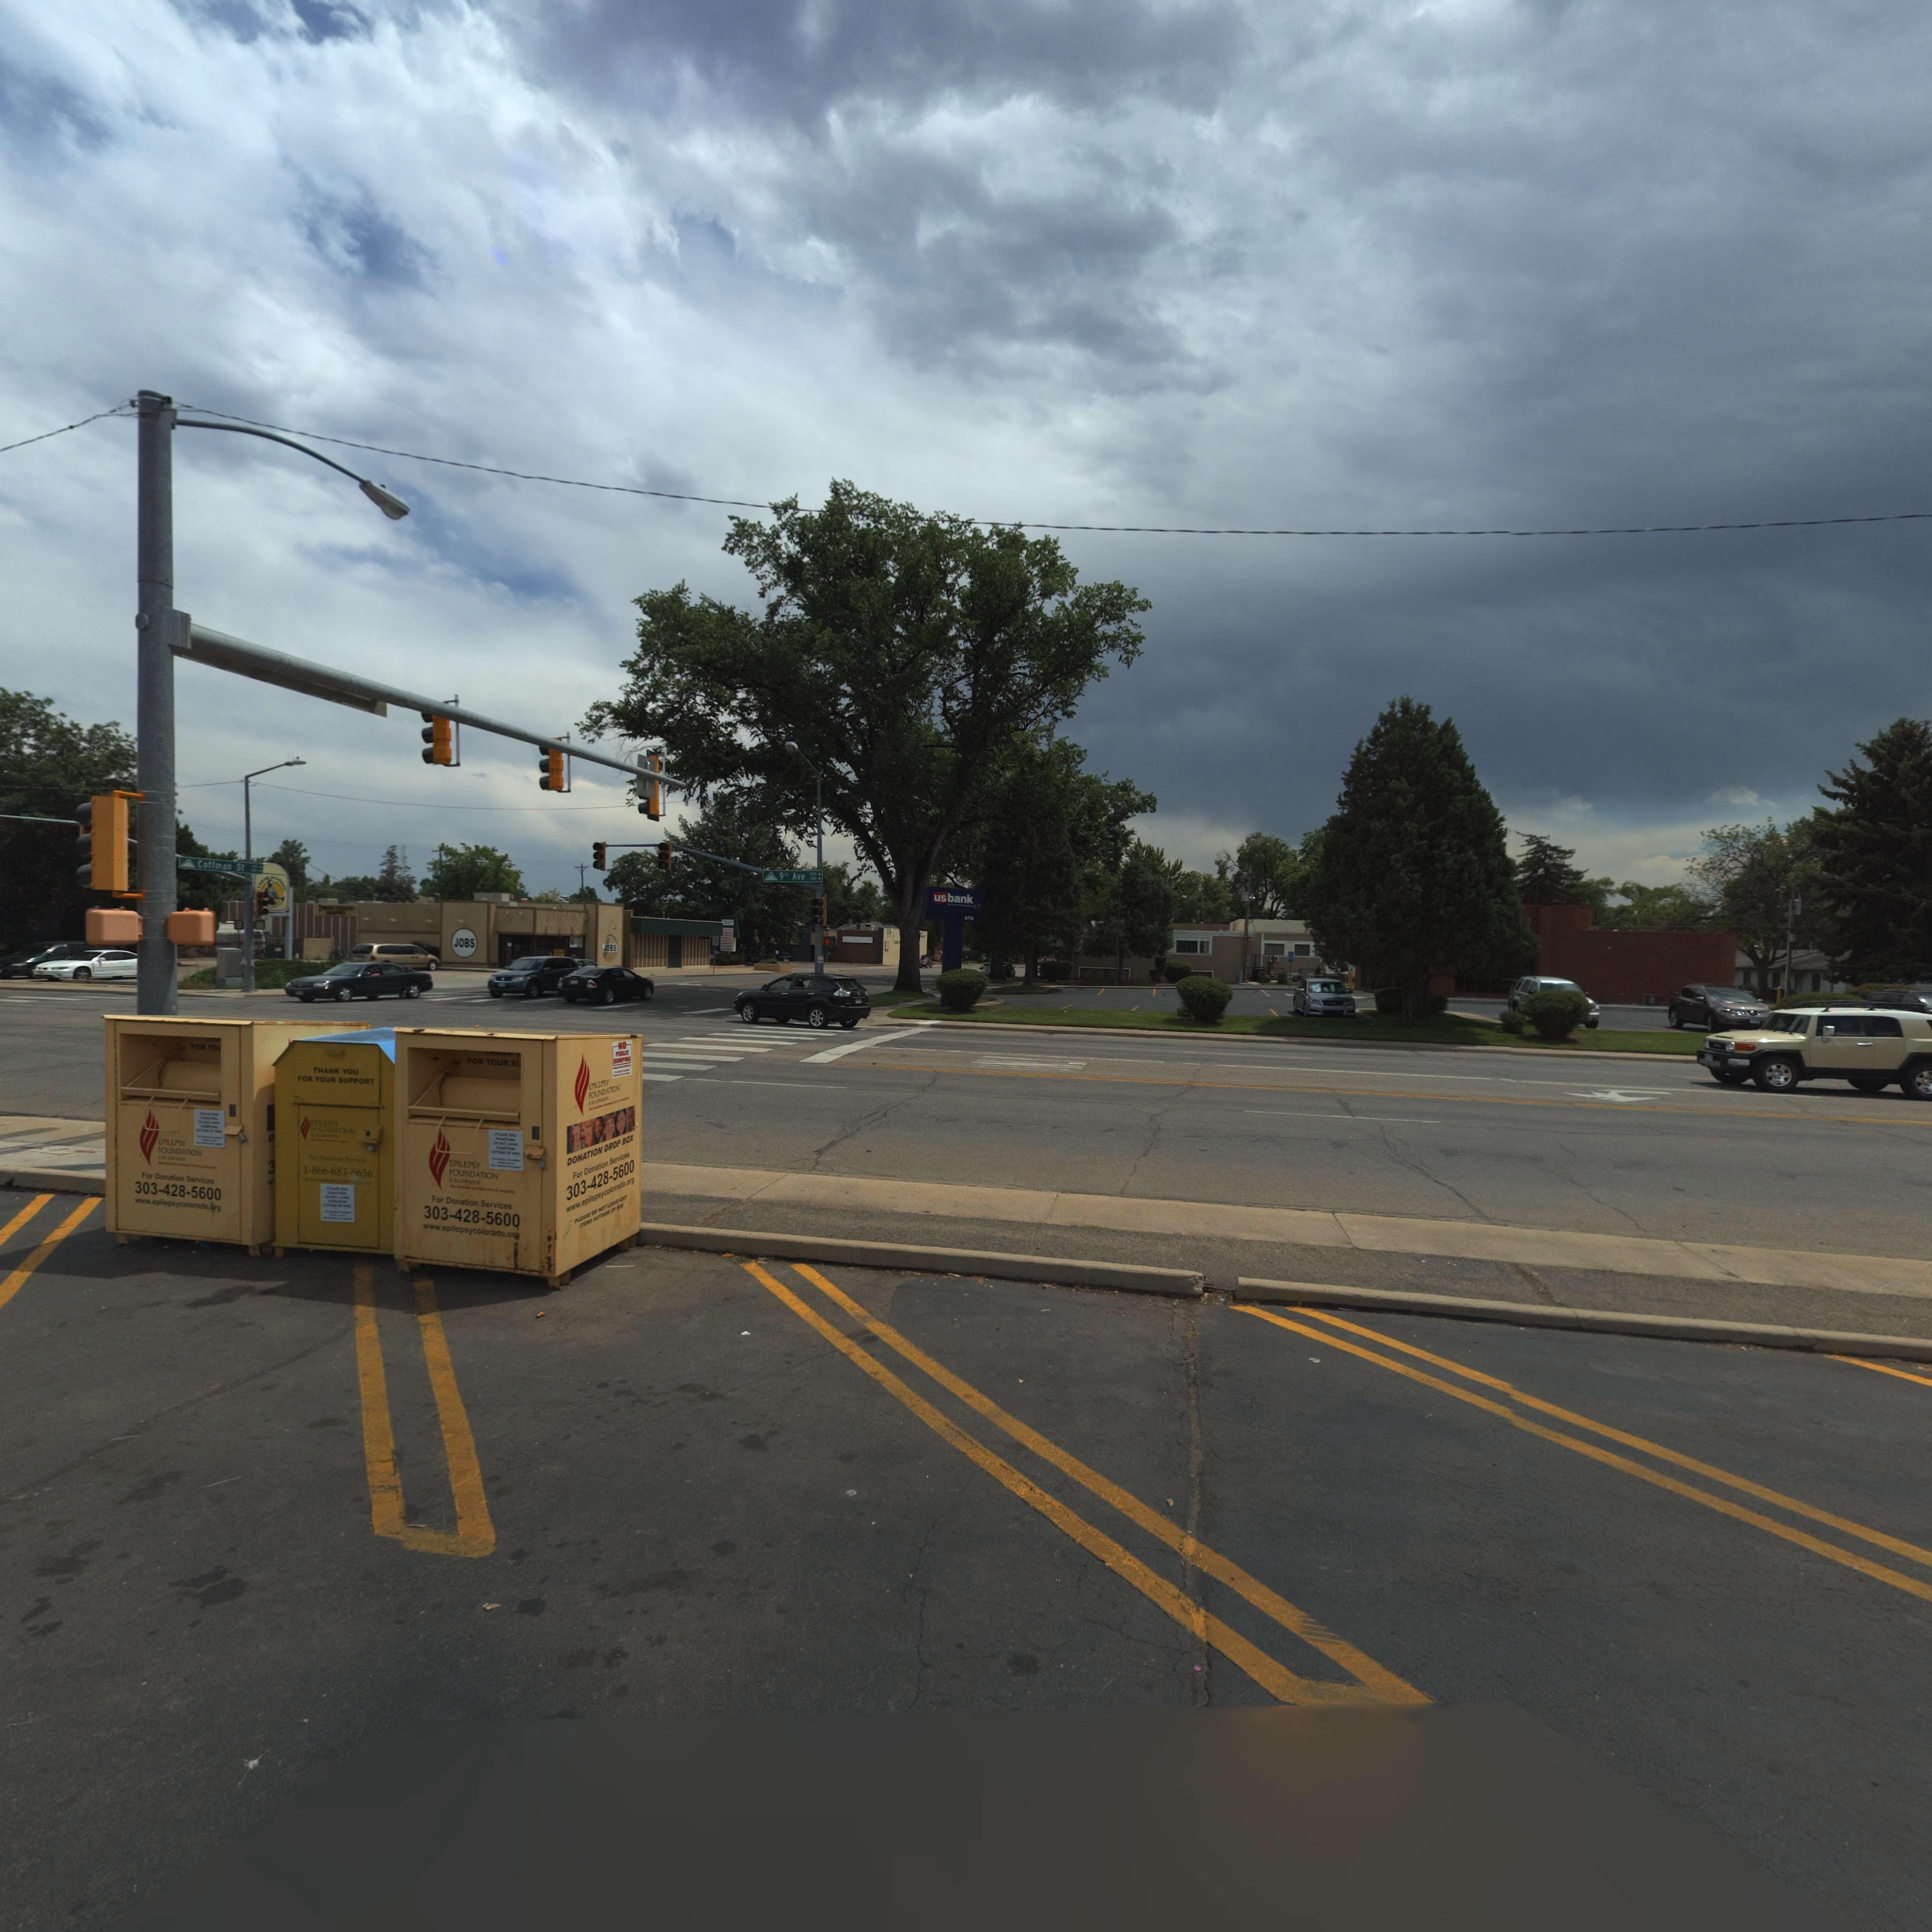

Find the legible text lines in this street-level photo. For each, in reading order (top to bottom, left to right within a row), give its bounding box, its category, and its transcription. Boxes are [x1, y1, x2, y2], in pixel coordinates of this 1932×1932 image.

[196, 860, 245, 872] StreetName: Coffman St
[779, 871, 805, 880] StreetName: 9** Ave
[809, 872, 817, 876] StreetNumberRange: *00
[810, 876, 821, 880] StreetNumberRange: 700->
[933, 892, 974, 904] BusinessName: usbank